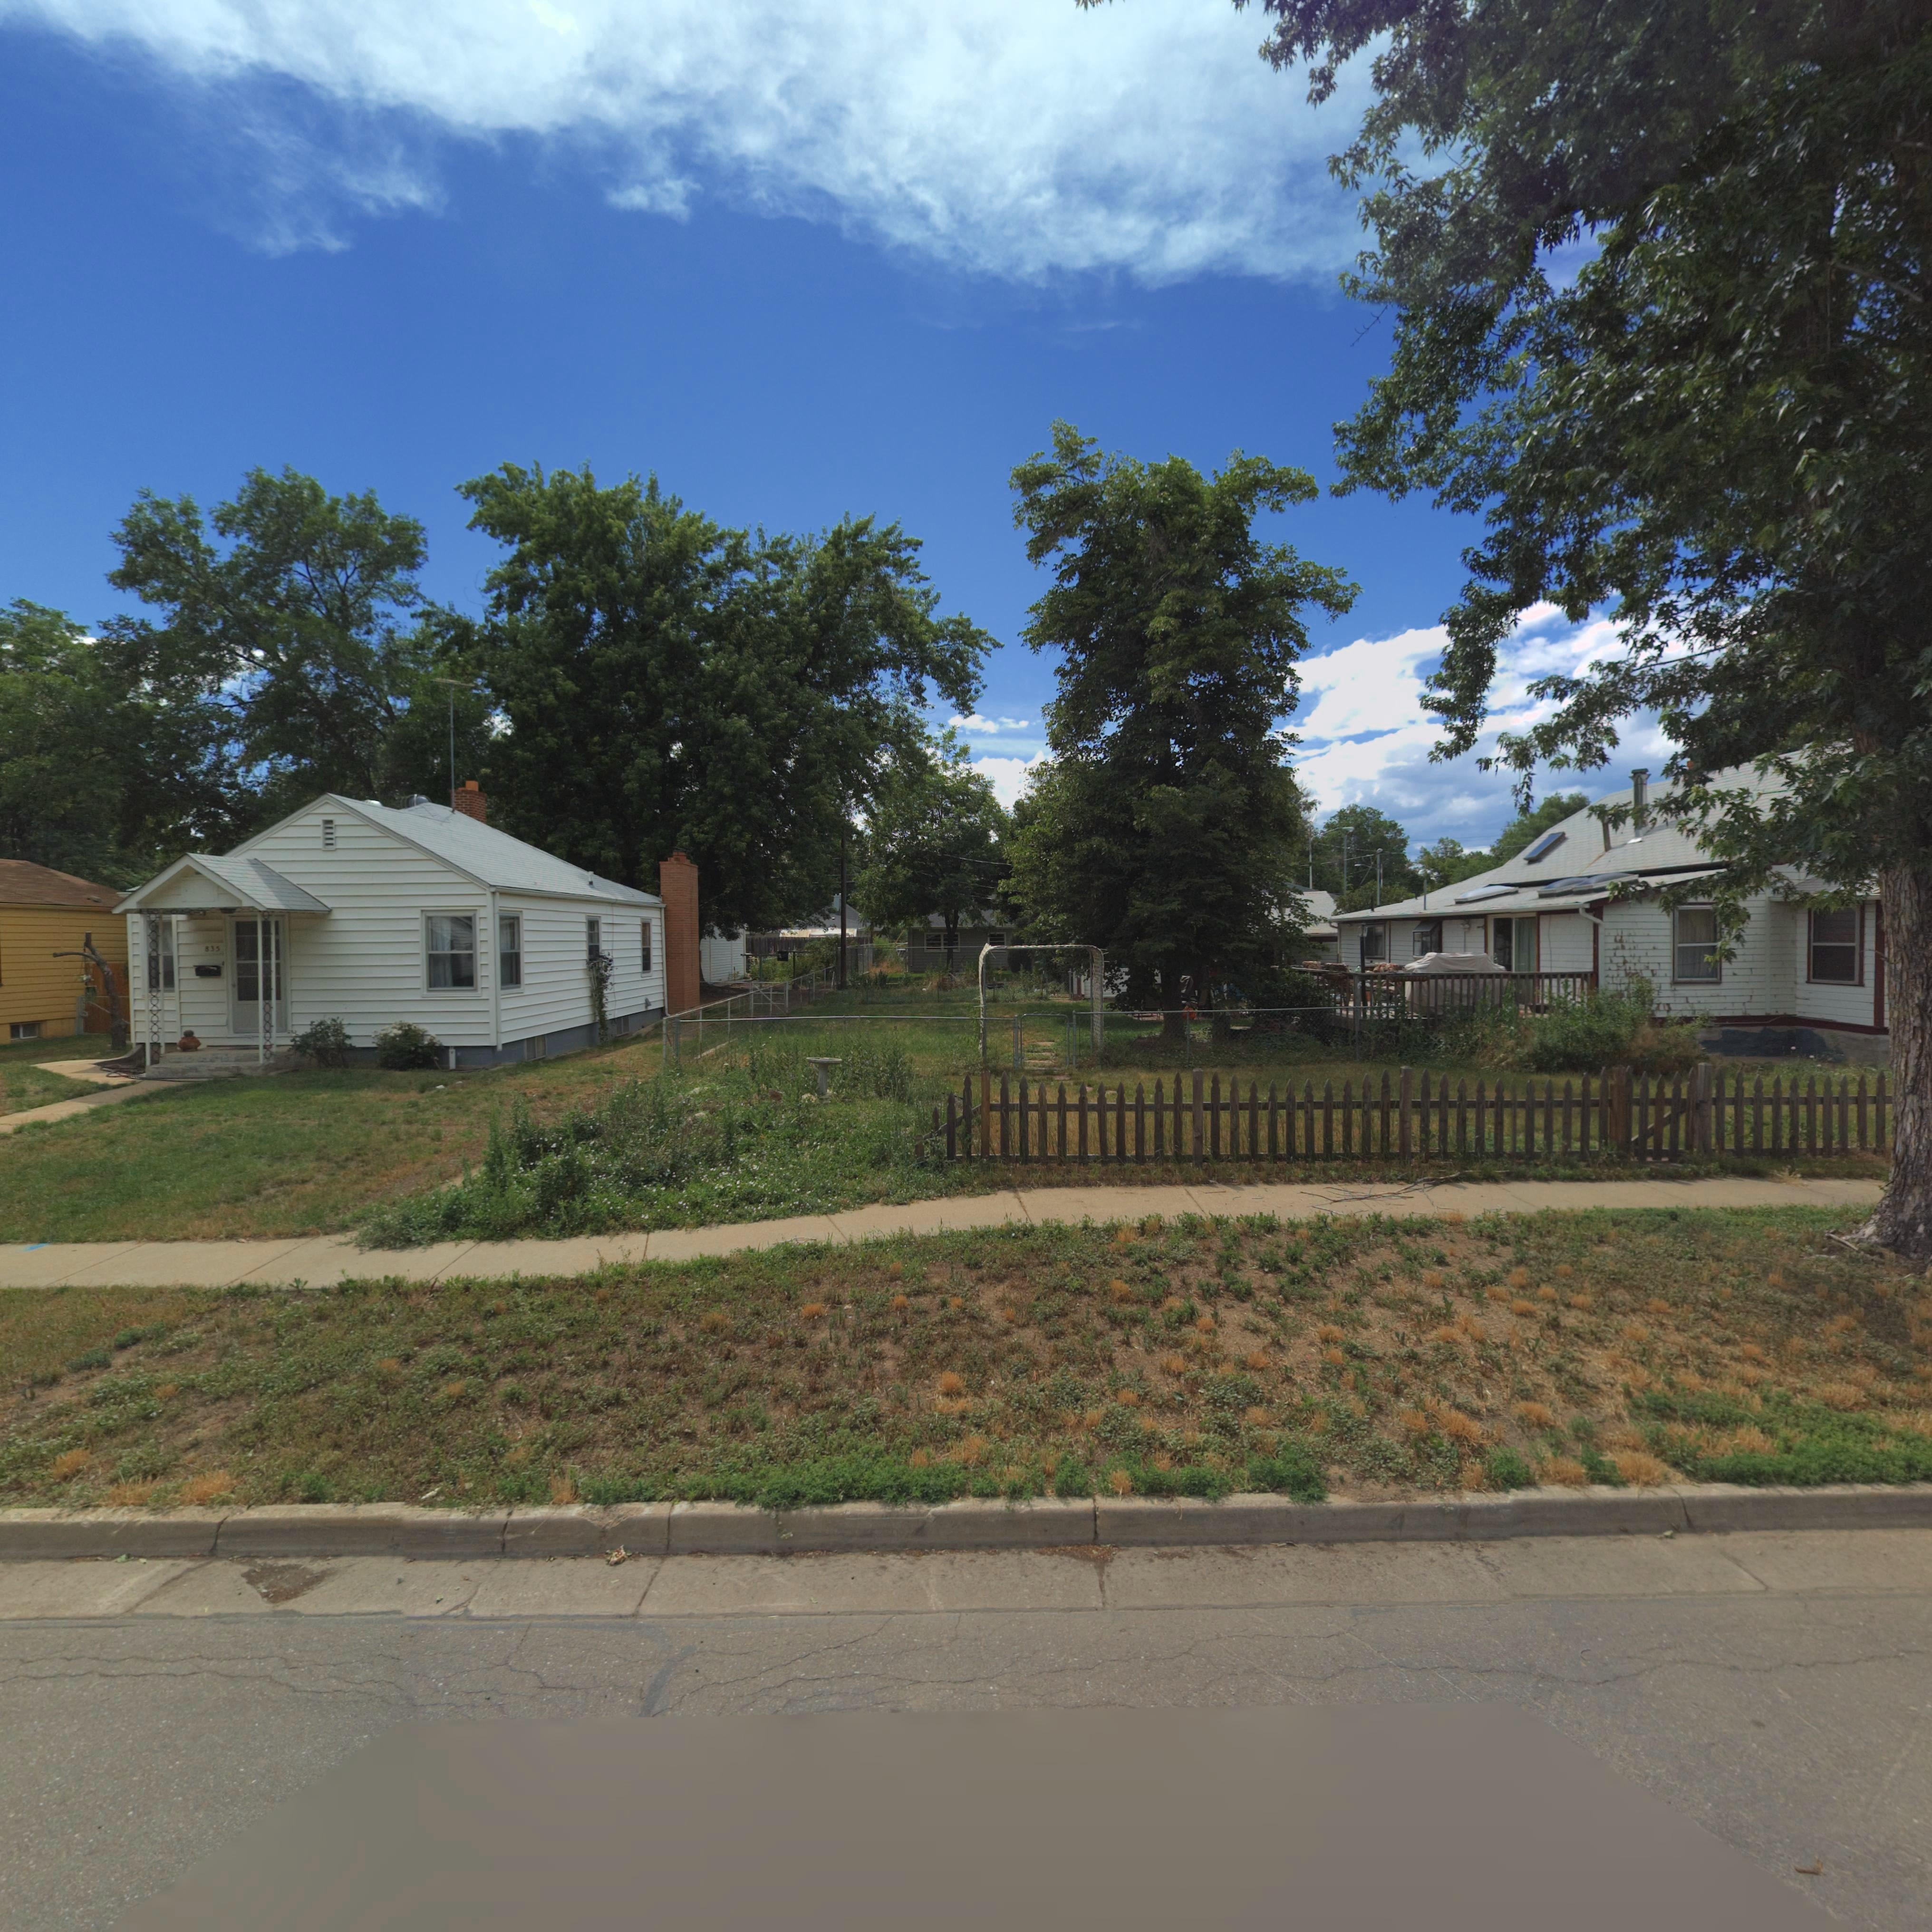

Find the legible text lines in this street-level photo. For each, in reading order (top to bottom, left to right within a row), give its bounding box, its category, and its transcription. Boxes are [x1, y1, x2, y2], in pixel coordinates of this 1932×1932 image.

[203, 943, 221, 953] StreetNumber: 835